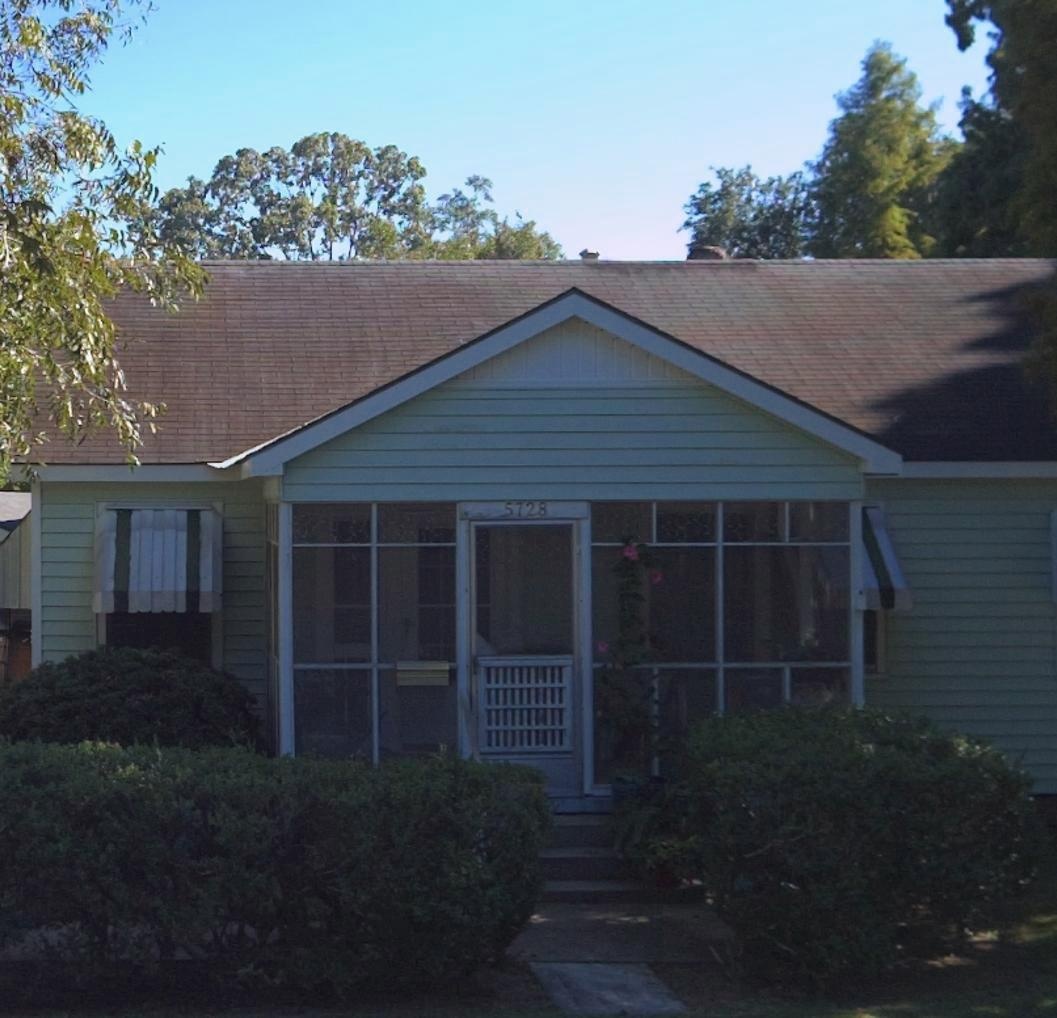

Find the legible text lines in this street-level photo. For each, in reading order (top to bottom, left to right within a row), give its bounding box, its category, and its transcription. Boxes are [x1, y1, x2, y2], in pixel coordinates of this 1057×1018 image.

[502, 500, 548, 518] StreetNumber: 5728